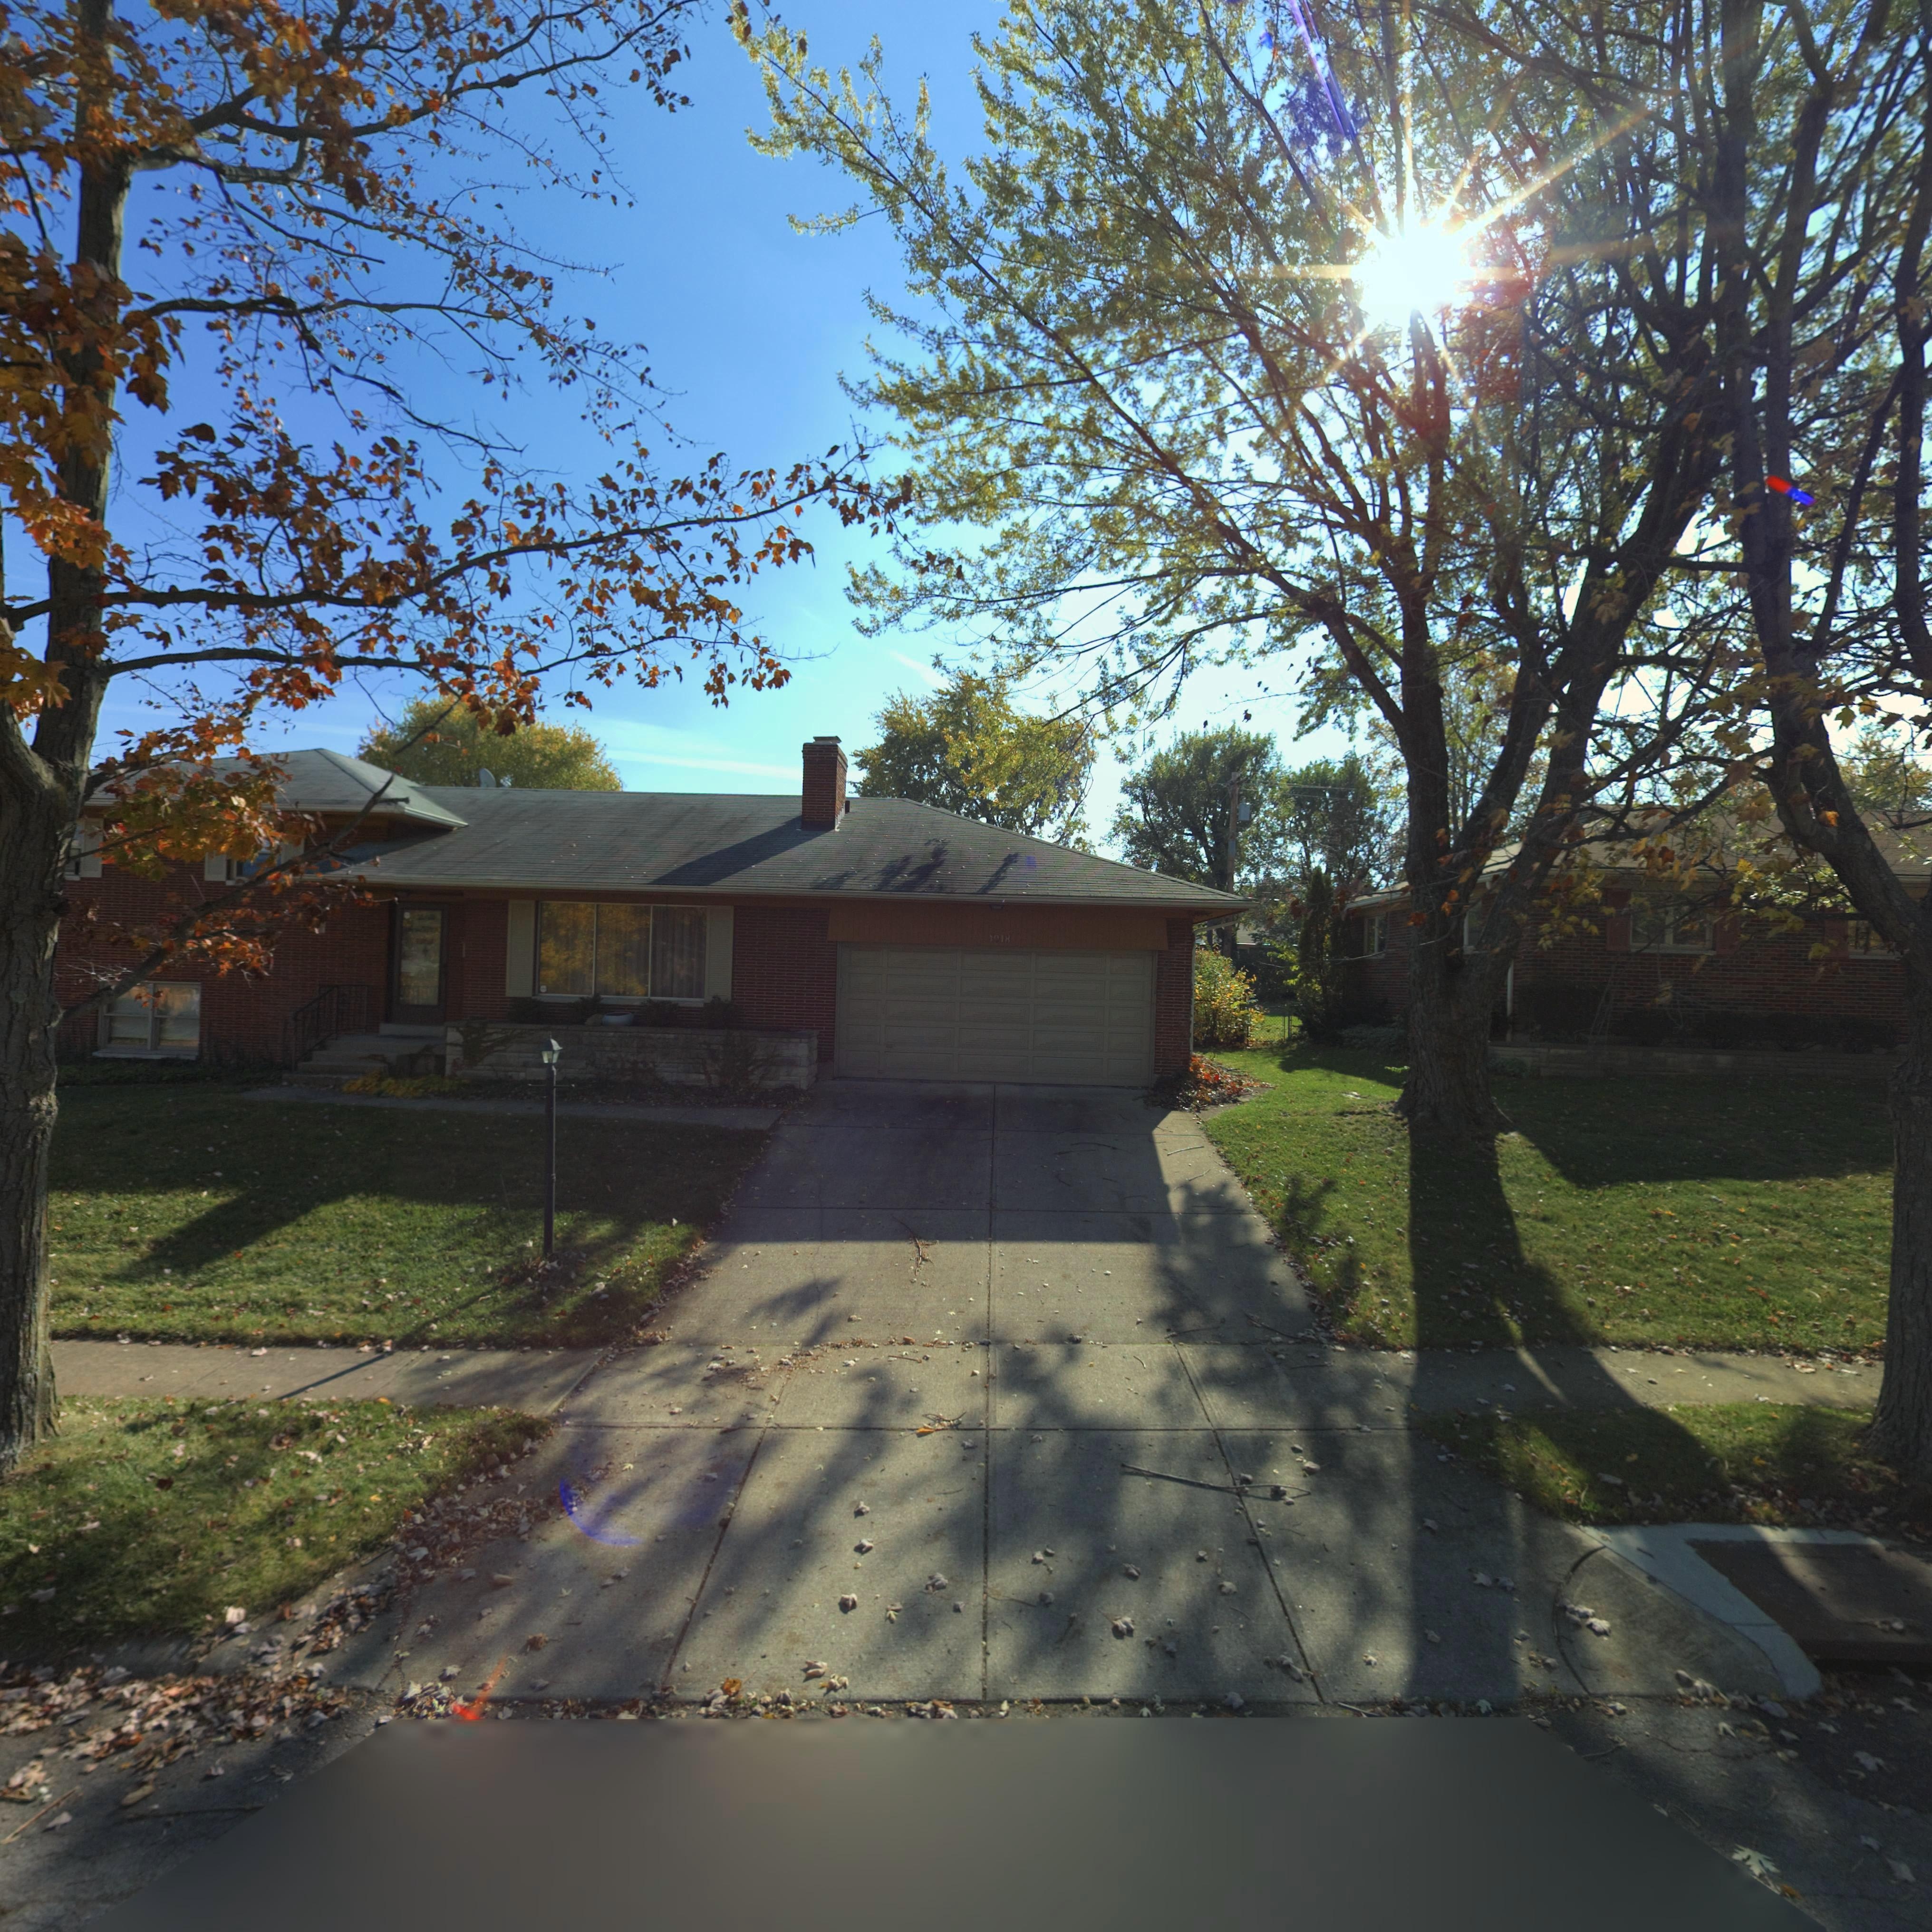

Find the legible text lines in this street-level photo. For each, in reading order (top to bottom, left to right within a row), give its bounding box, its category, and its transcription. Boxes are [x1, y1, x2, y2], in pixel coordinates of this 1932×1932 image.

[988, 933, 1011, 945] StreetNumber: 1018